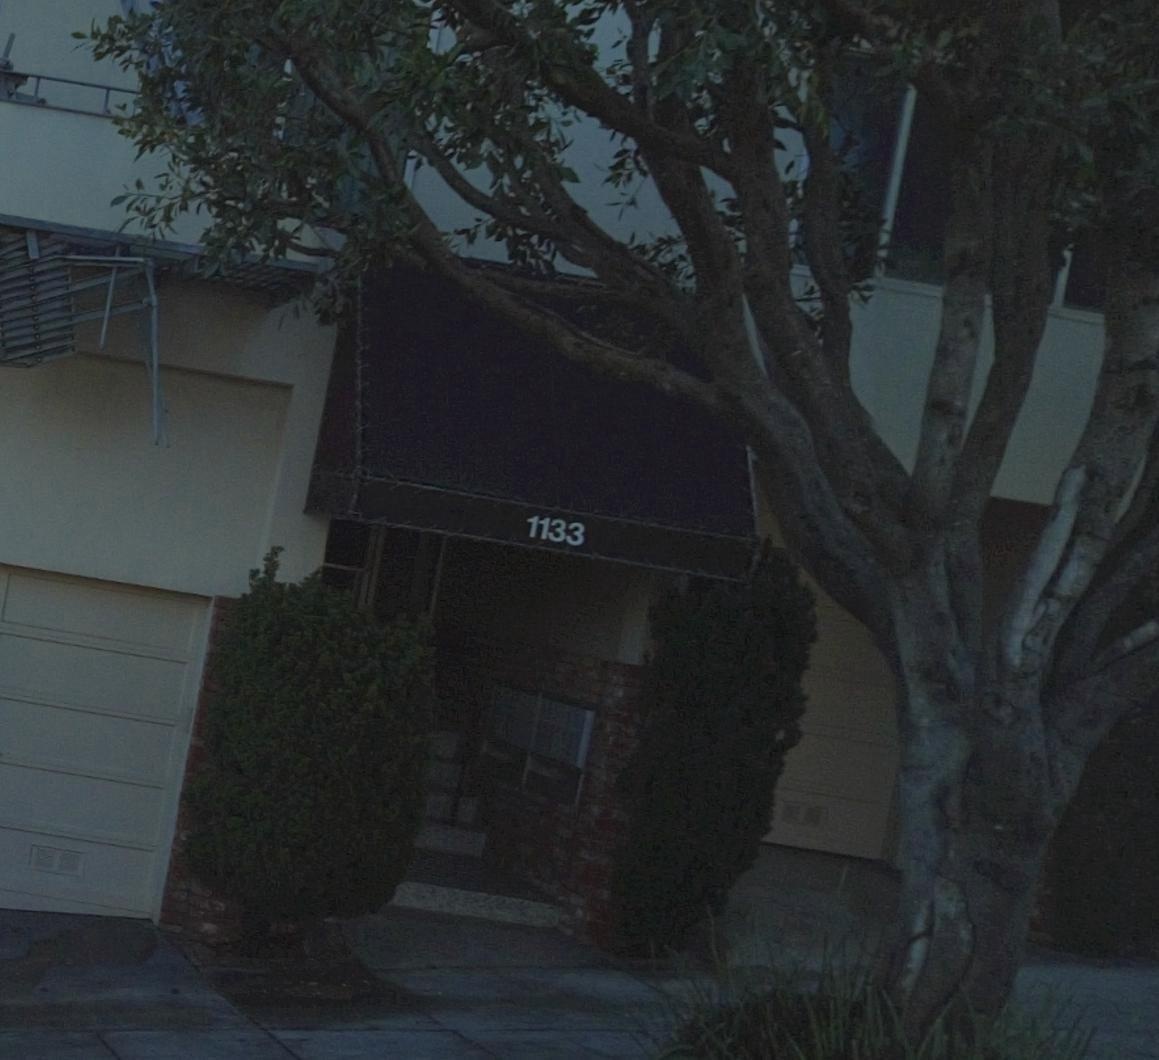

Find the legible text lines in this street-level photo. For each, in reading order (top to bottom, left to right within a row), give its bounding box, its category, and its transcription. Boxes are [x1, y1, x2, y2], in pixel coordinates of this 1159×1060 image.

[523, 512, 589, 549] StreetNumber: 1133